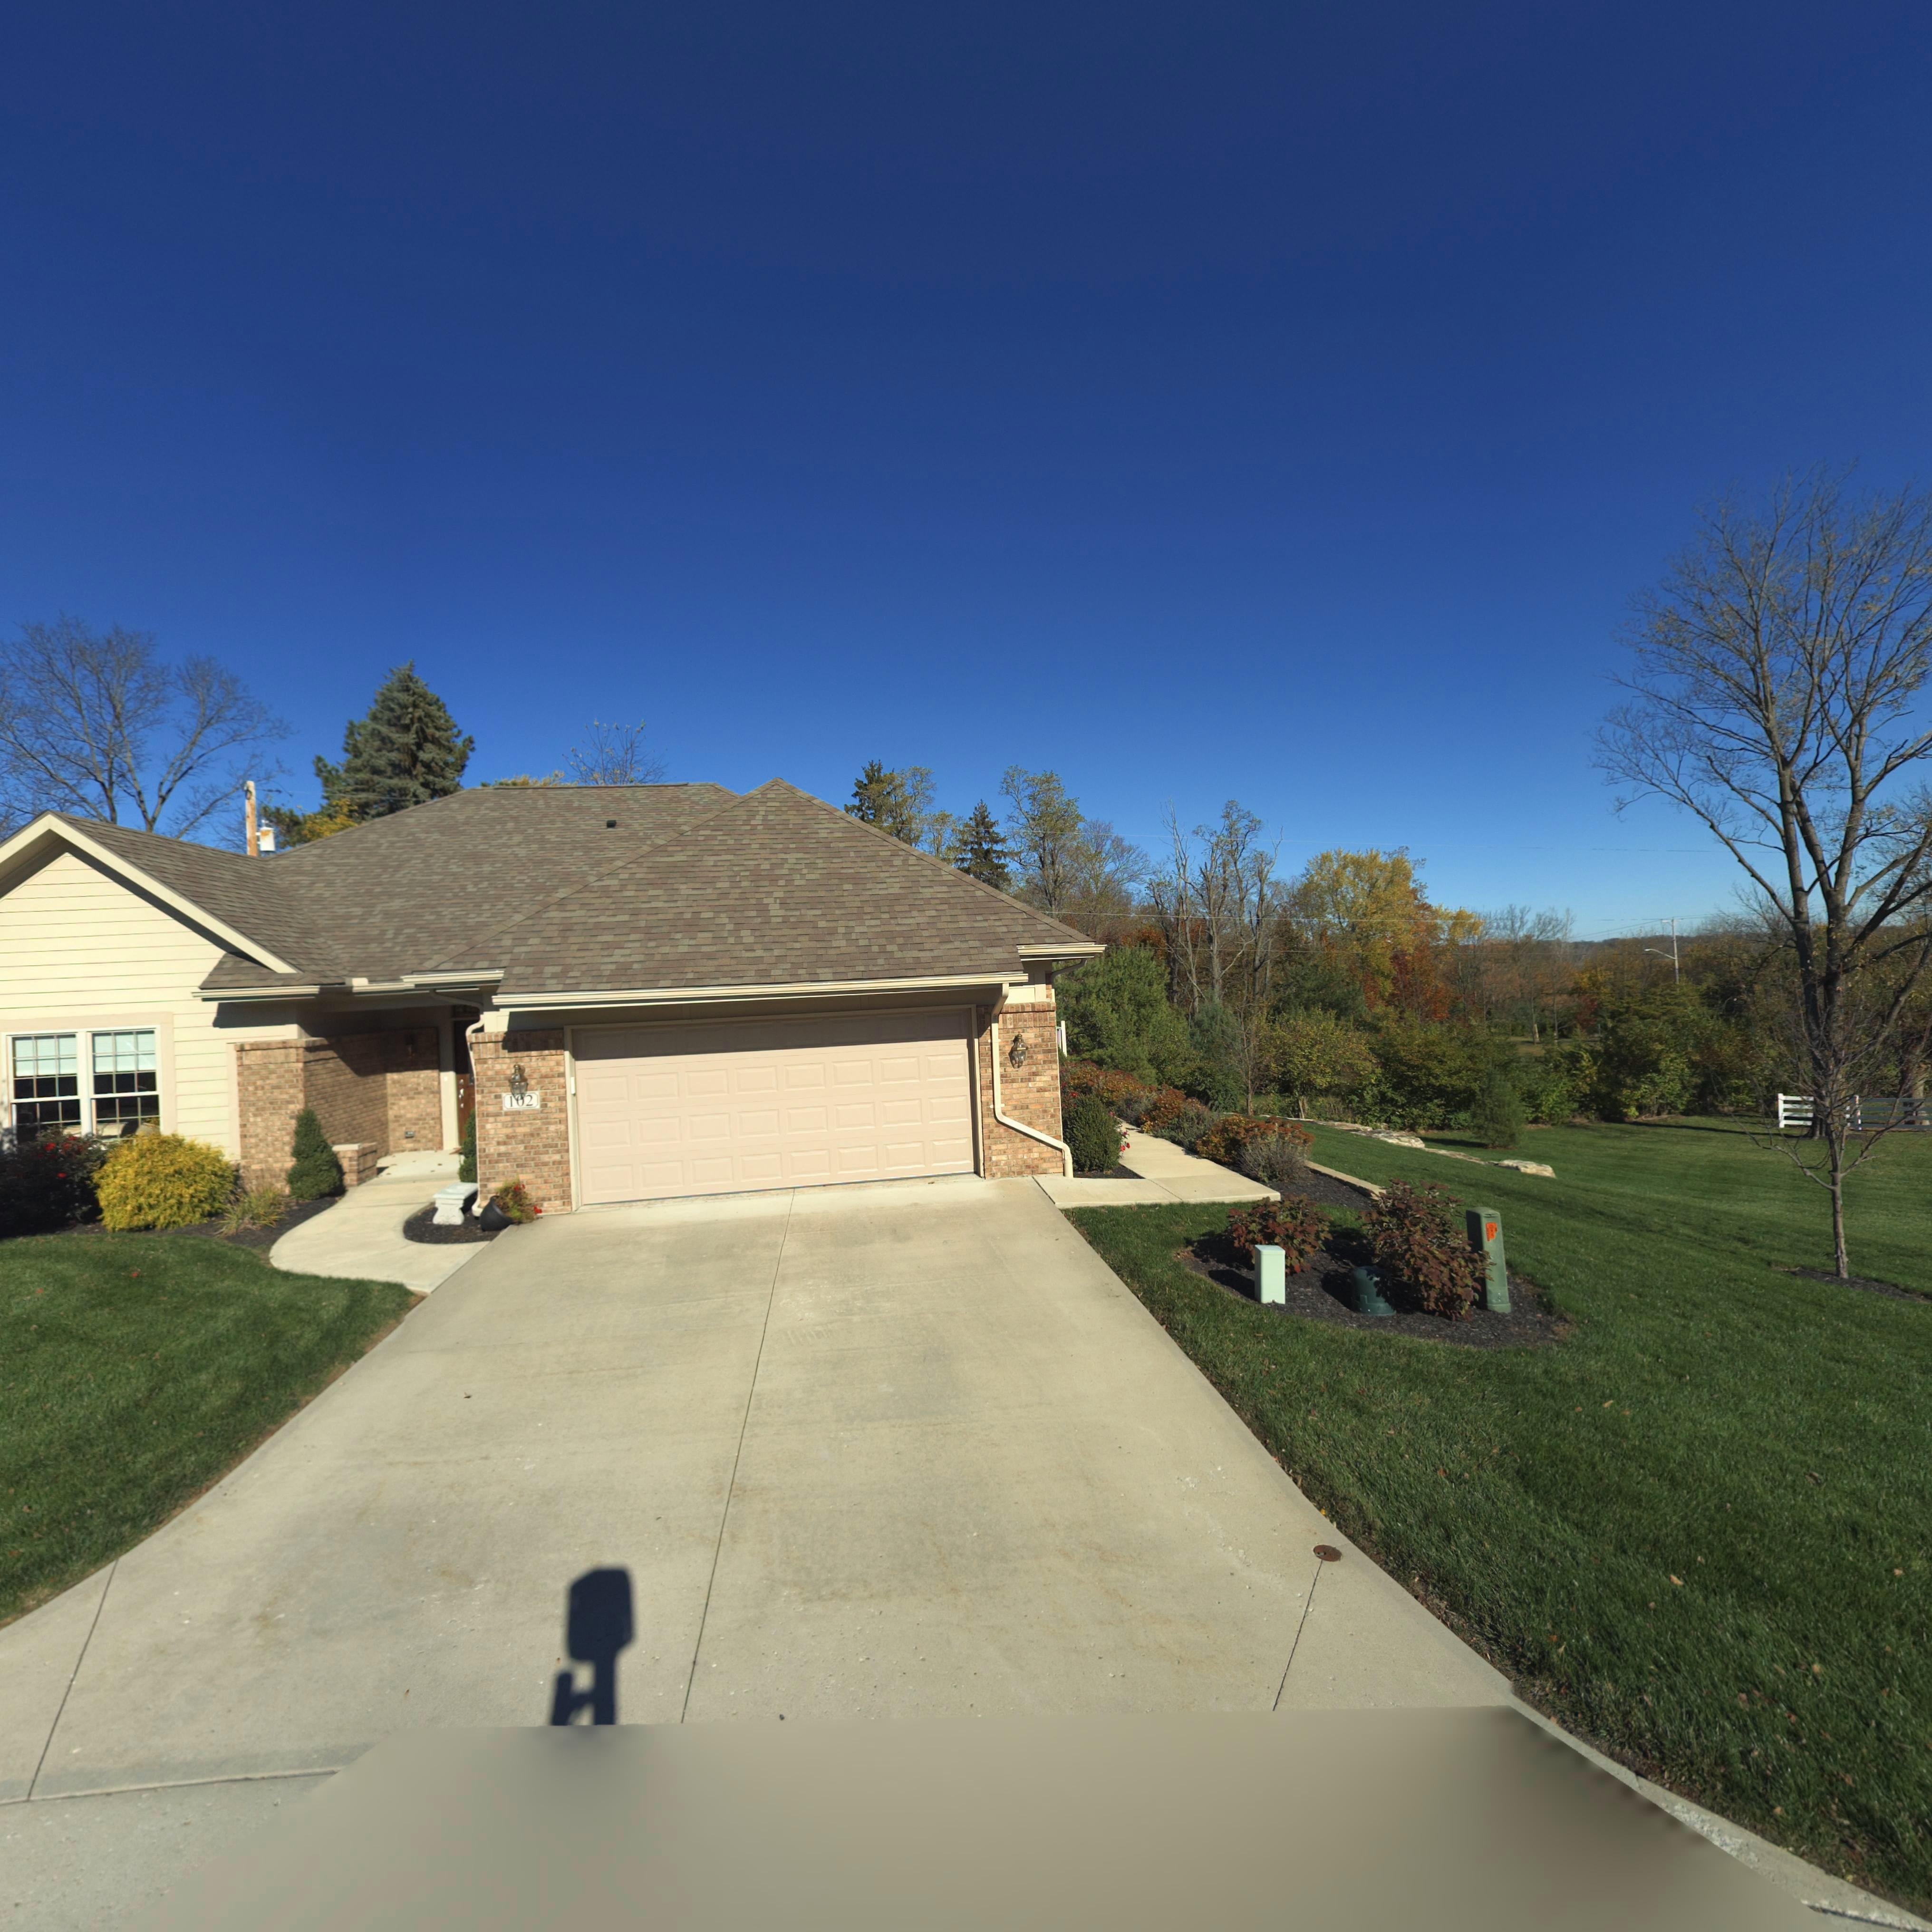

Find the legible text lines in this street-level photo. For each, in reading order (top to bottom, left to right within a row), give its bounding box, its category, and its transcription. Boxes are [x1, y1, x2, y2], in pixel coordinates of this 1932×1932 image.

[509, 1093, 534, 1108] StreetNumber: 1*2